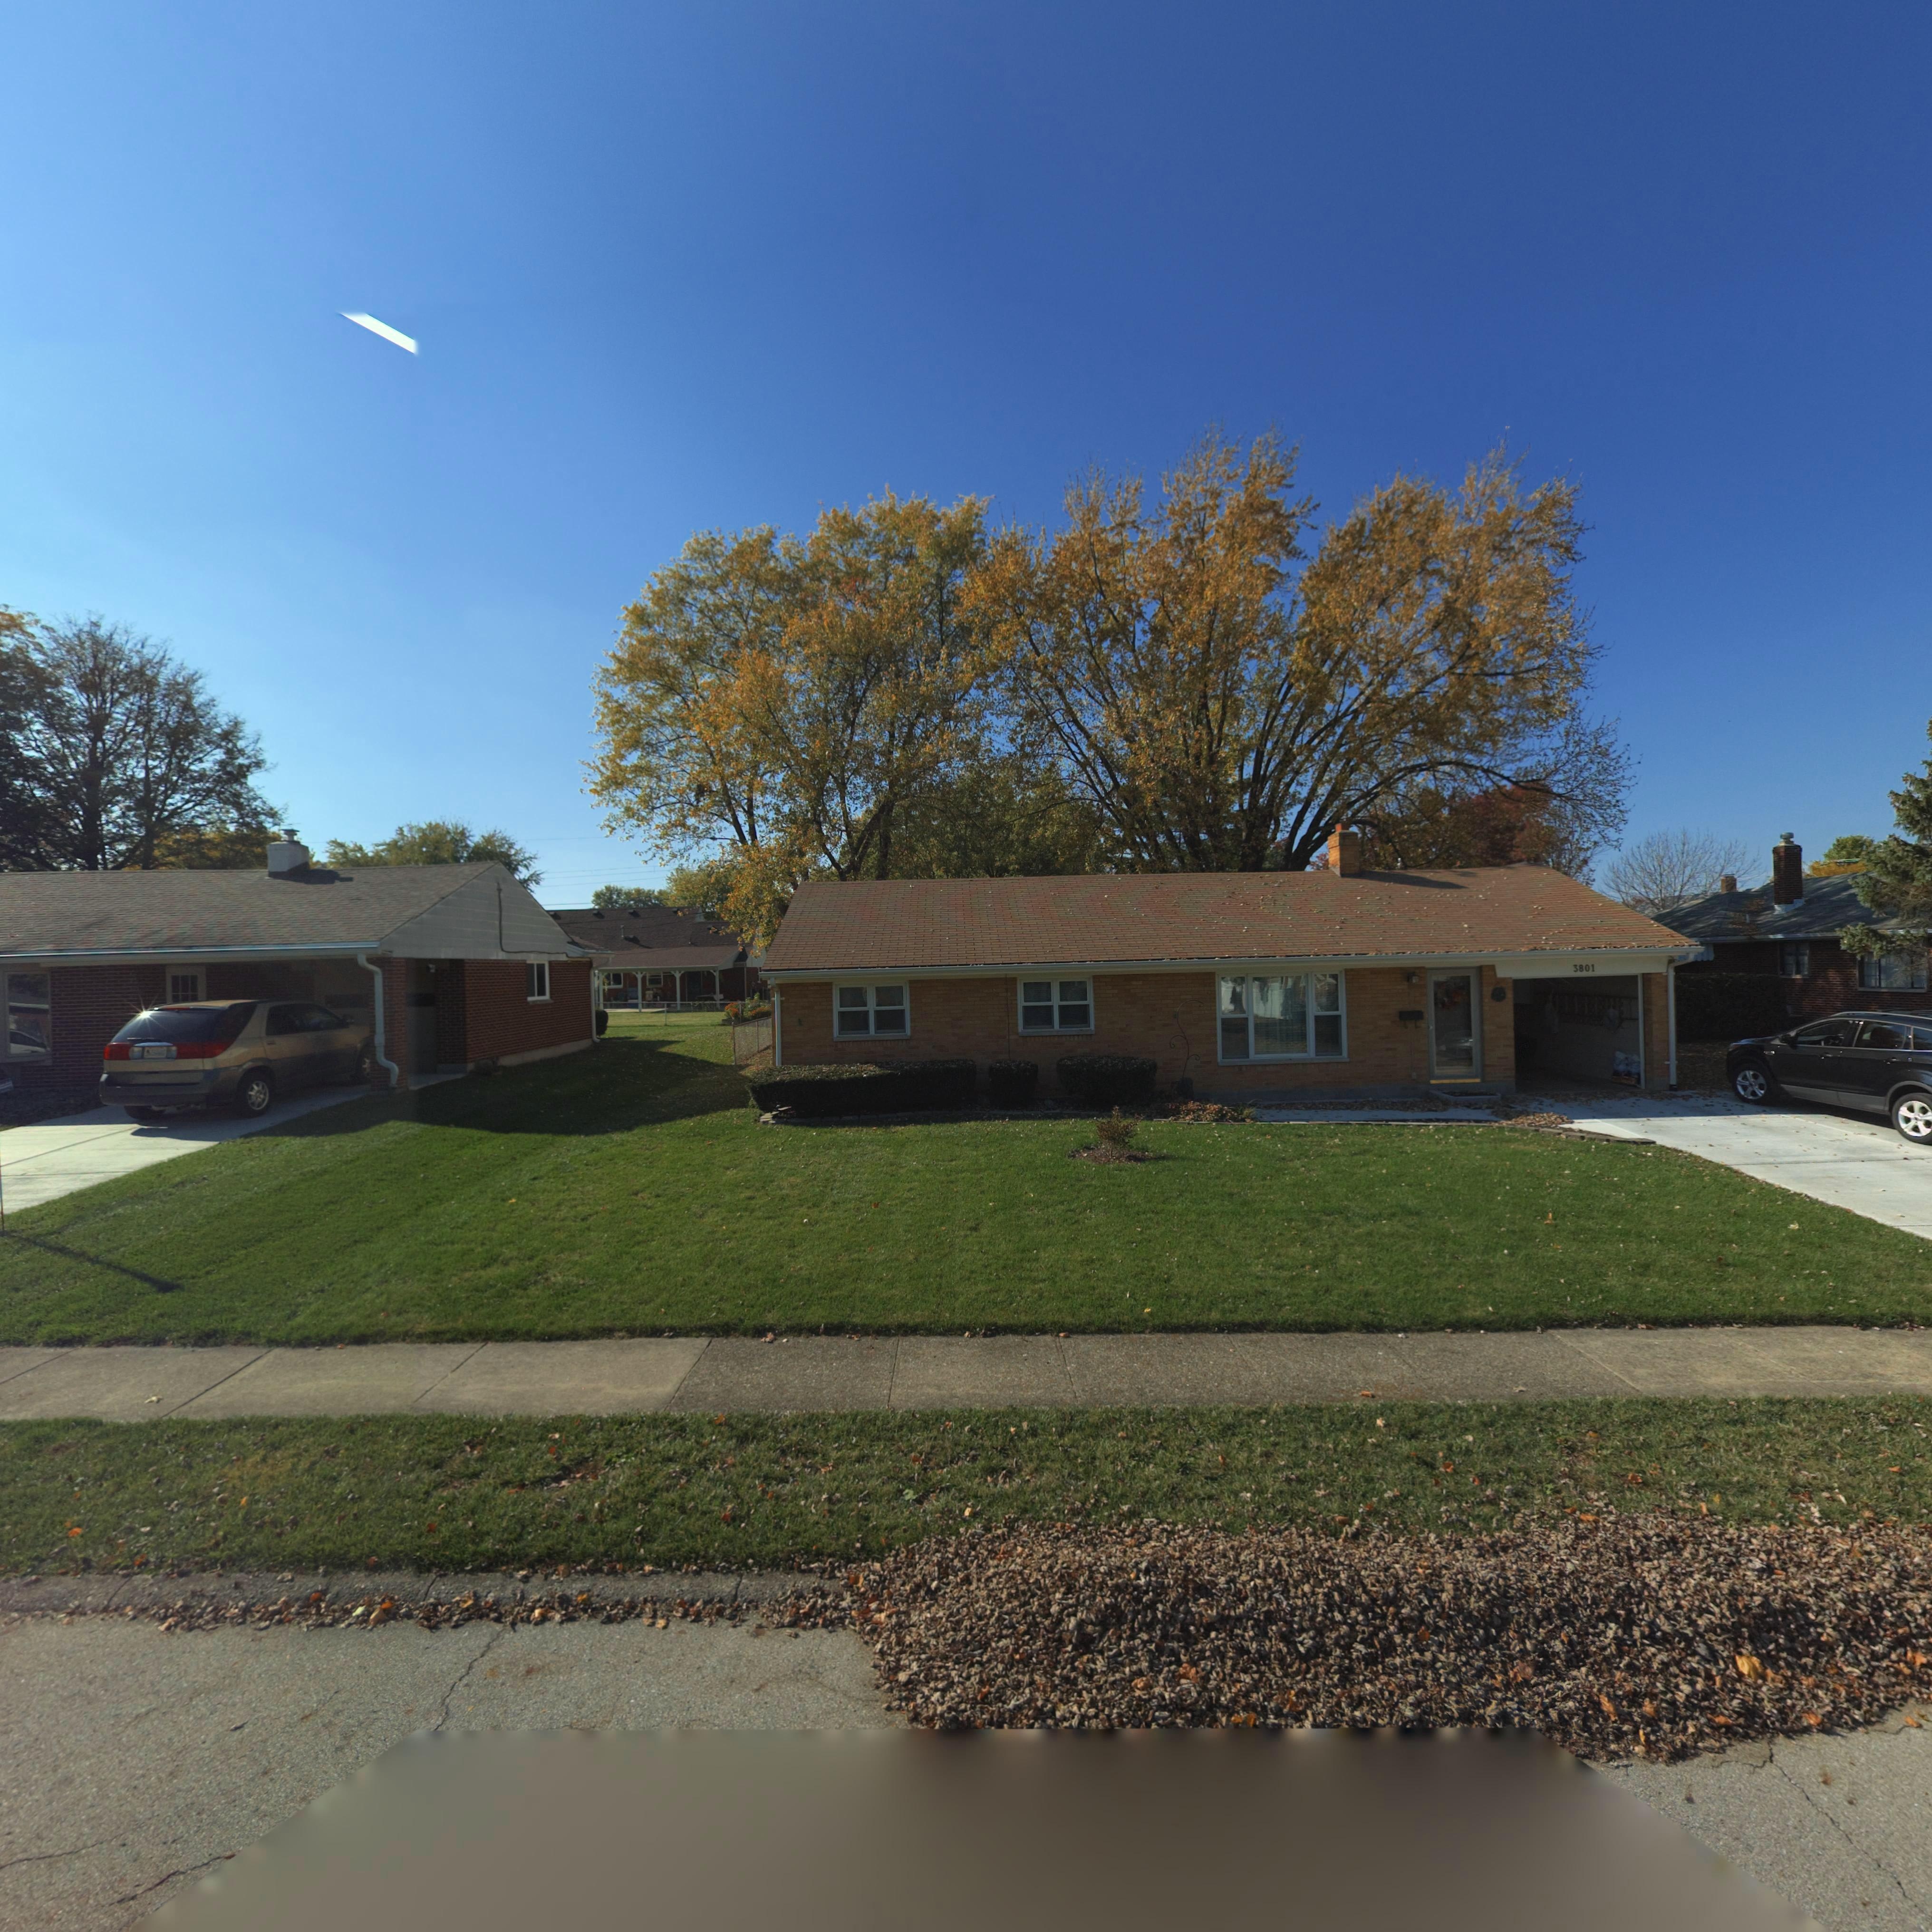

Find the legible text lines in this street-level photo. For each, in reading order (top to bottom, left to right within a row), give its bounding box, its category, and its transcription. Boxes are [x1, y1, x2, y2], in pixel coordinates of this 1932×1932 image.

[1571, 963, 1596, 974] StreetNumber: 3801